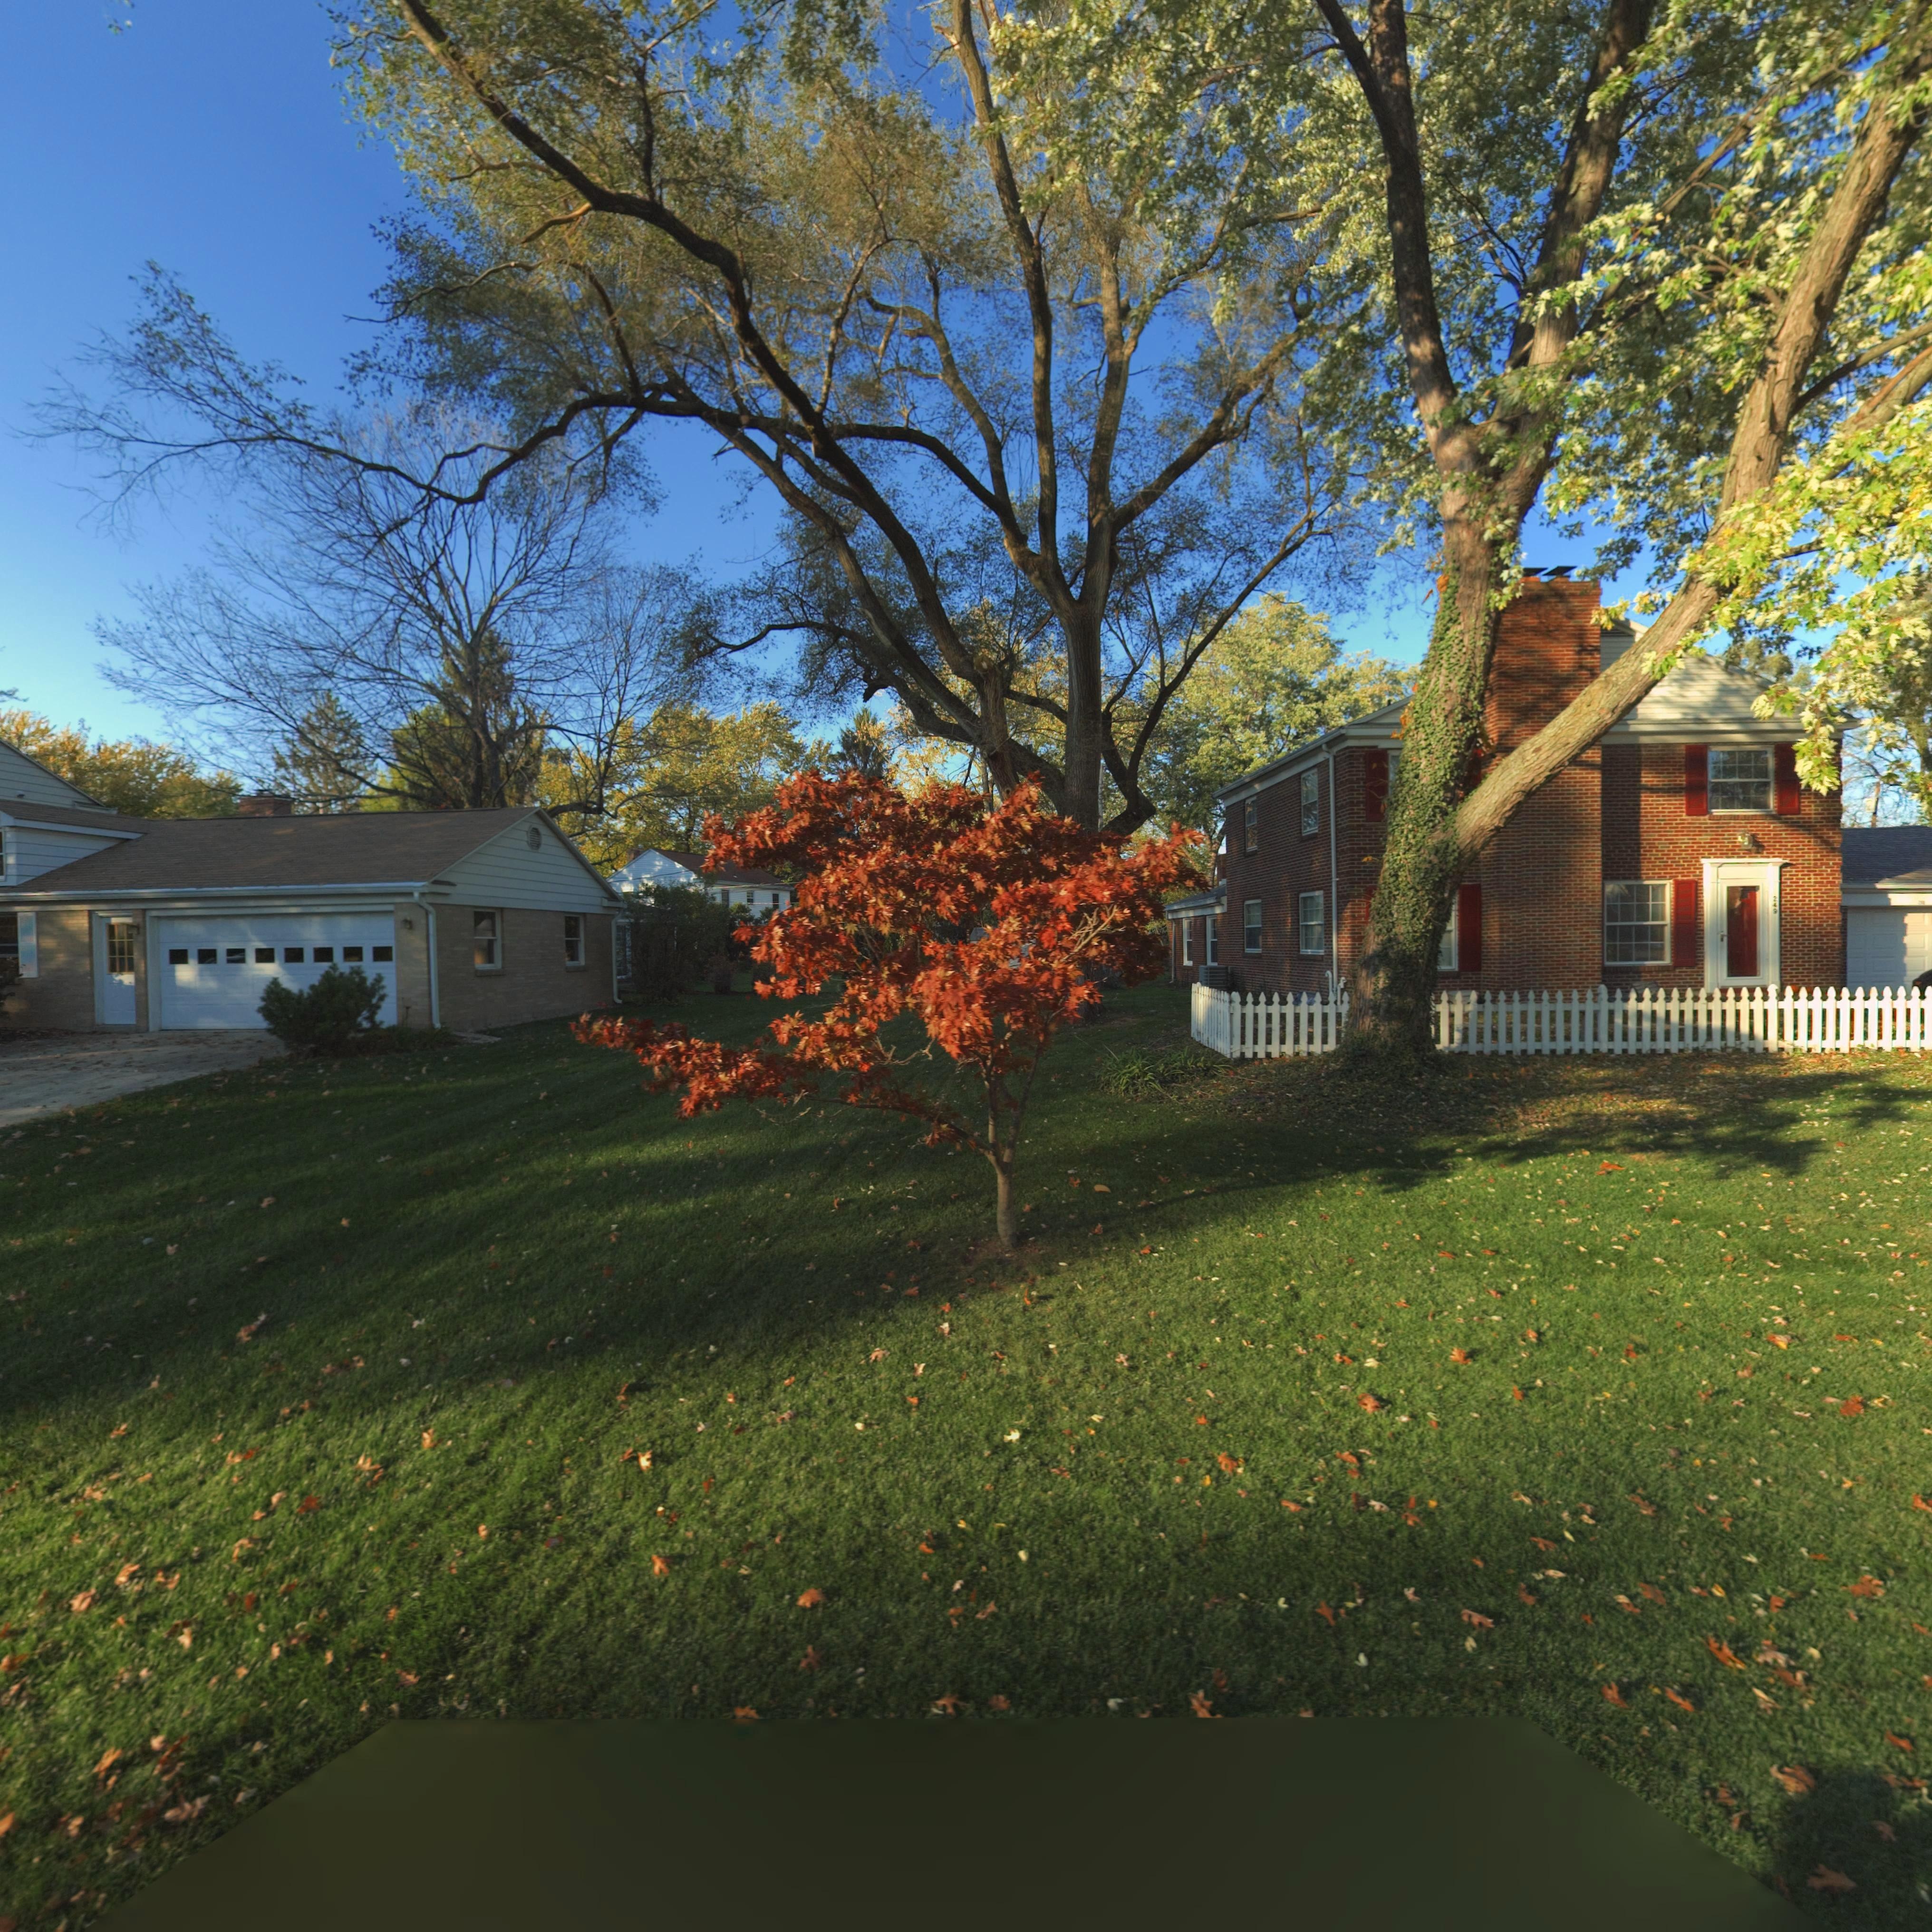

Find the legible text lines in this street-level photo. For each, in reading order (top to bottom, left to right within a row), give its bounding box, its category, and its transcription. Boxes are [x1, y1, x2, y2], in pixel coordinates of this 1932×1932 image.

[1772, 896, 1777, 915] StreetNumber: 249